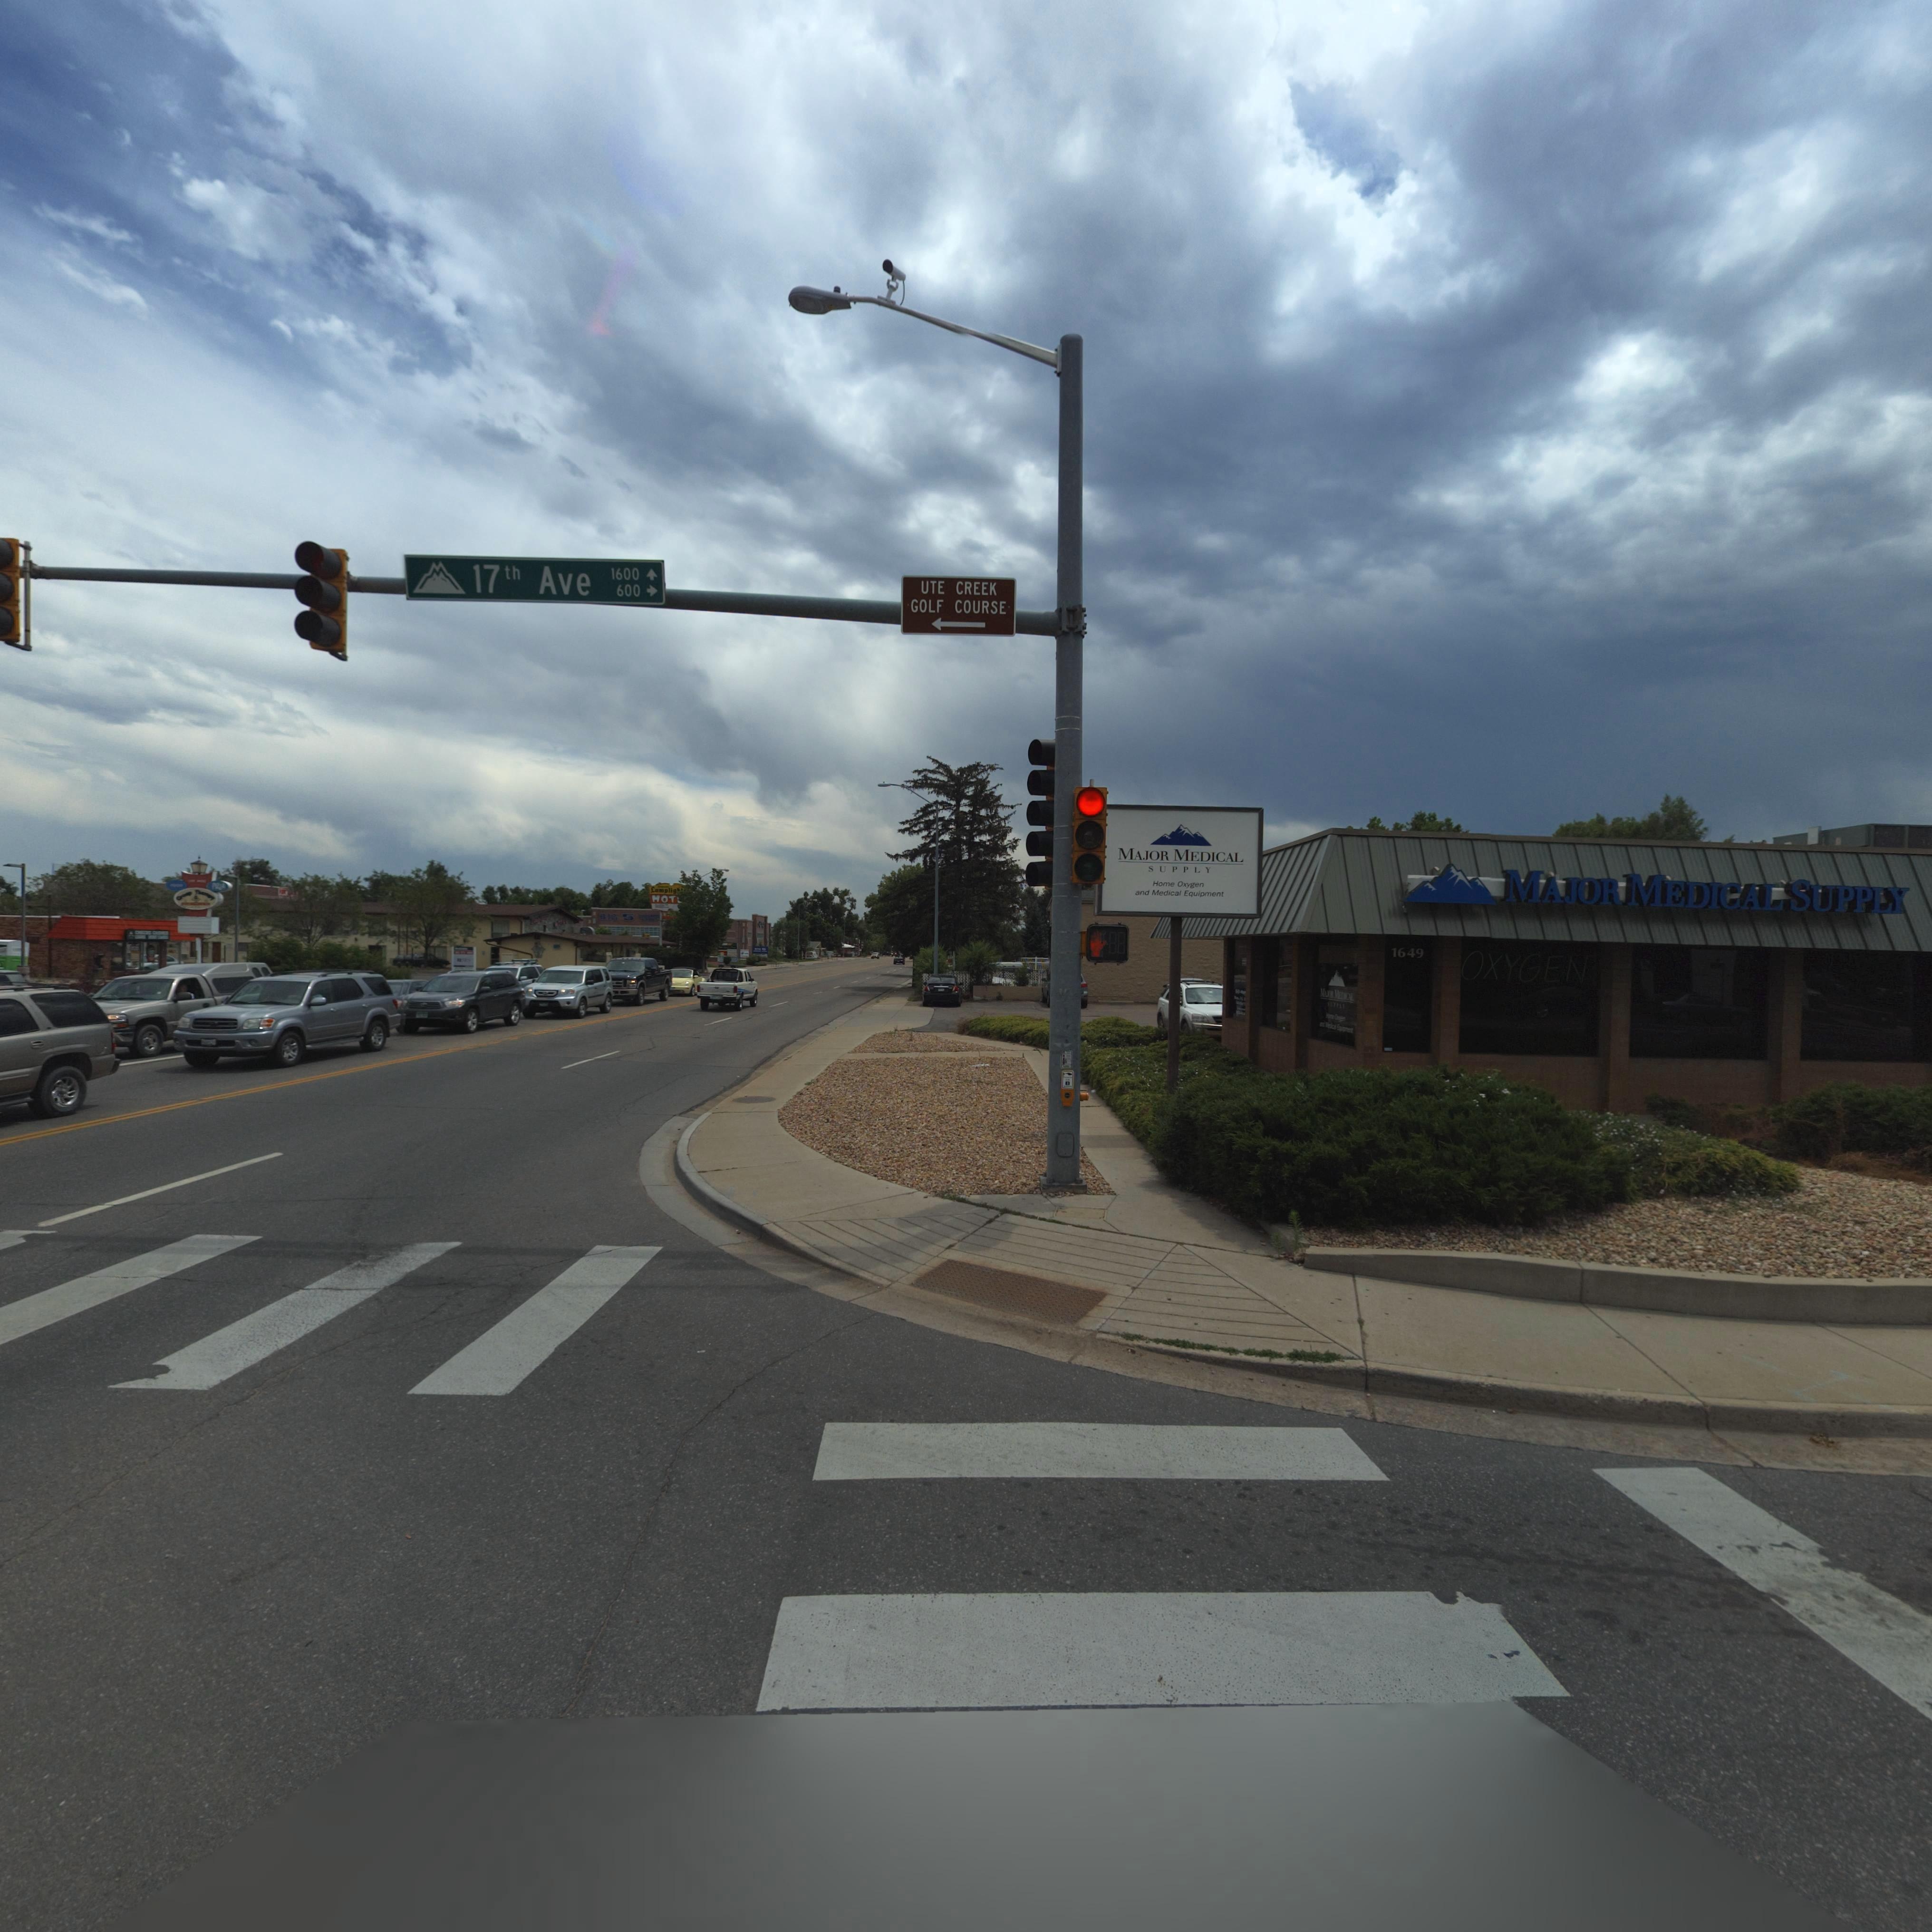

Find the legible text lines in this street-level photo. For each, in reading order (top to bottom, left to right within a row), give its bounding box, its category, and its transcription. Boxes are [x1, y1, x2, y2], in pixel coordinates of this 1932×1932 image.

[472, 564, 591, 597] StreetName: 17th Ave
[610, 567, 640, 580] StreetNumberRange: 1600
[616, 584, 659, 597] StreetNumberRange: 600->
[1117, 847, 1244, 862] BusinessName: MAJOR MEDICAL
[1148, 865, 1212, 873] BusinessName: SUPPLY
[651, 886, 676, 894] BusinessName: L**pl*g
[651, 894, 676, 903] BusinessName: *OT
[1504, 869, 1911, 914] BusinessName: MAJOR MEDICAL SUPPLY
[599, 913, 634, 921] BusinessName: *** 5
[1390, 947, 1424, 958] StreetNumber: 1649
[1320, 987, 1354, 1001] BusinessName: ***O* *E**C*L